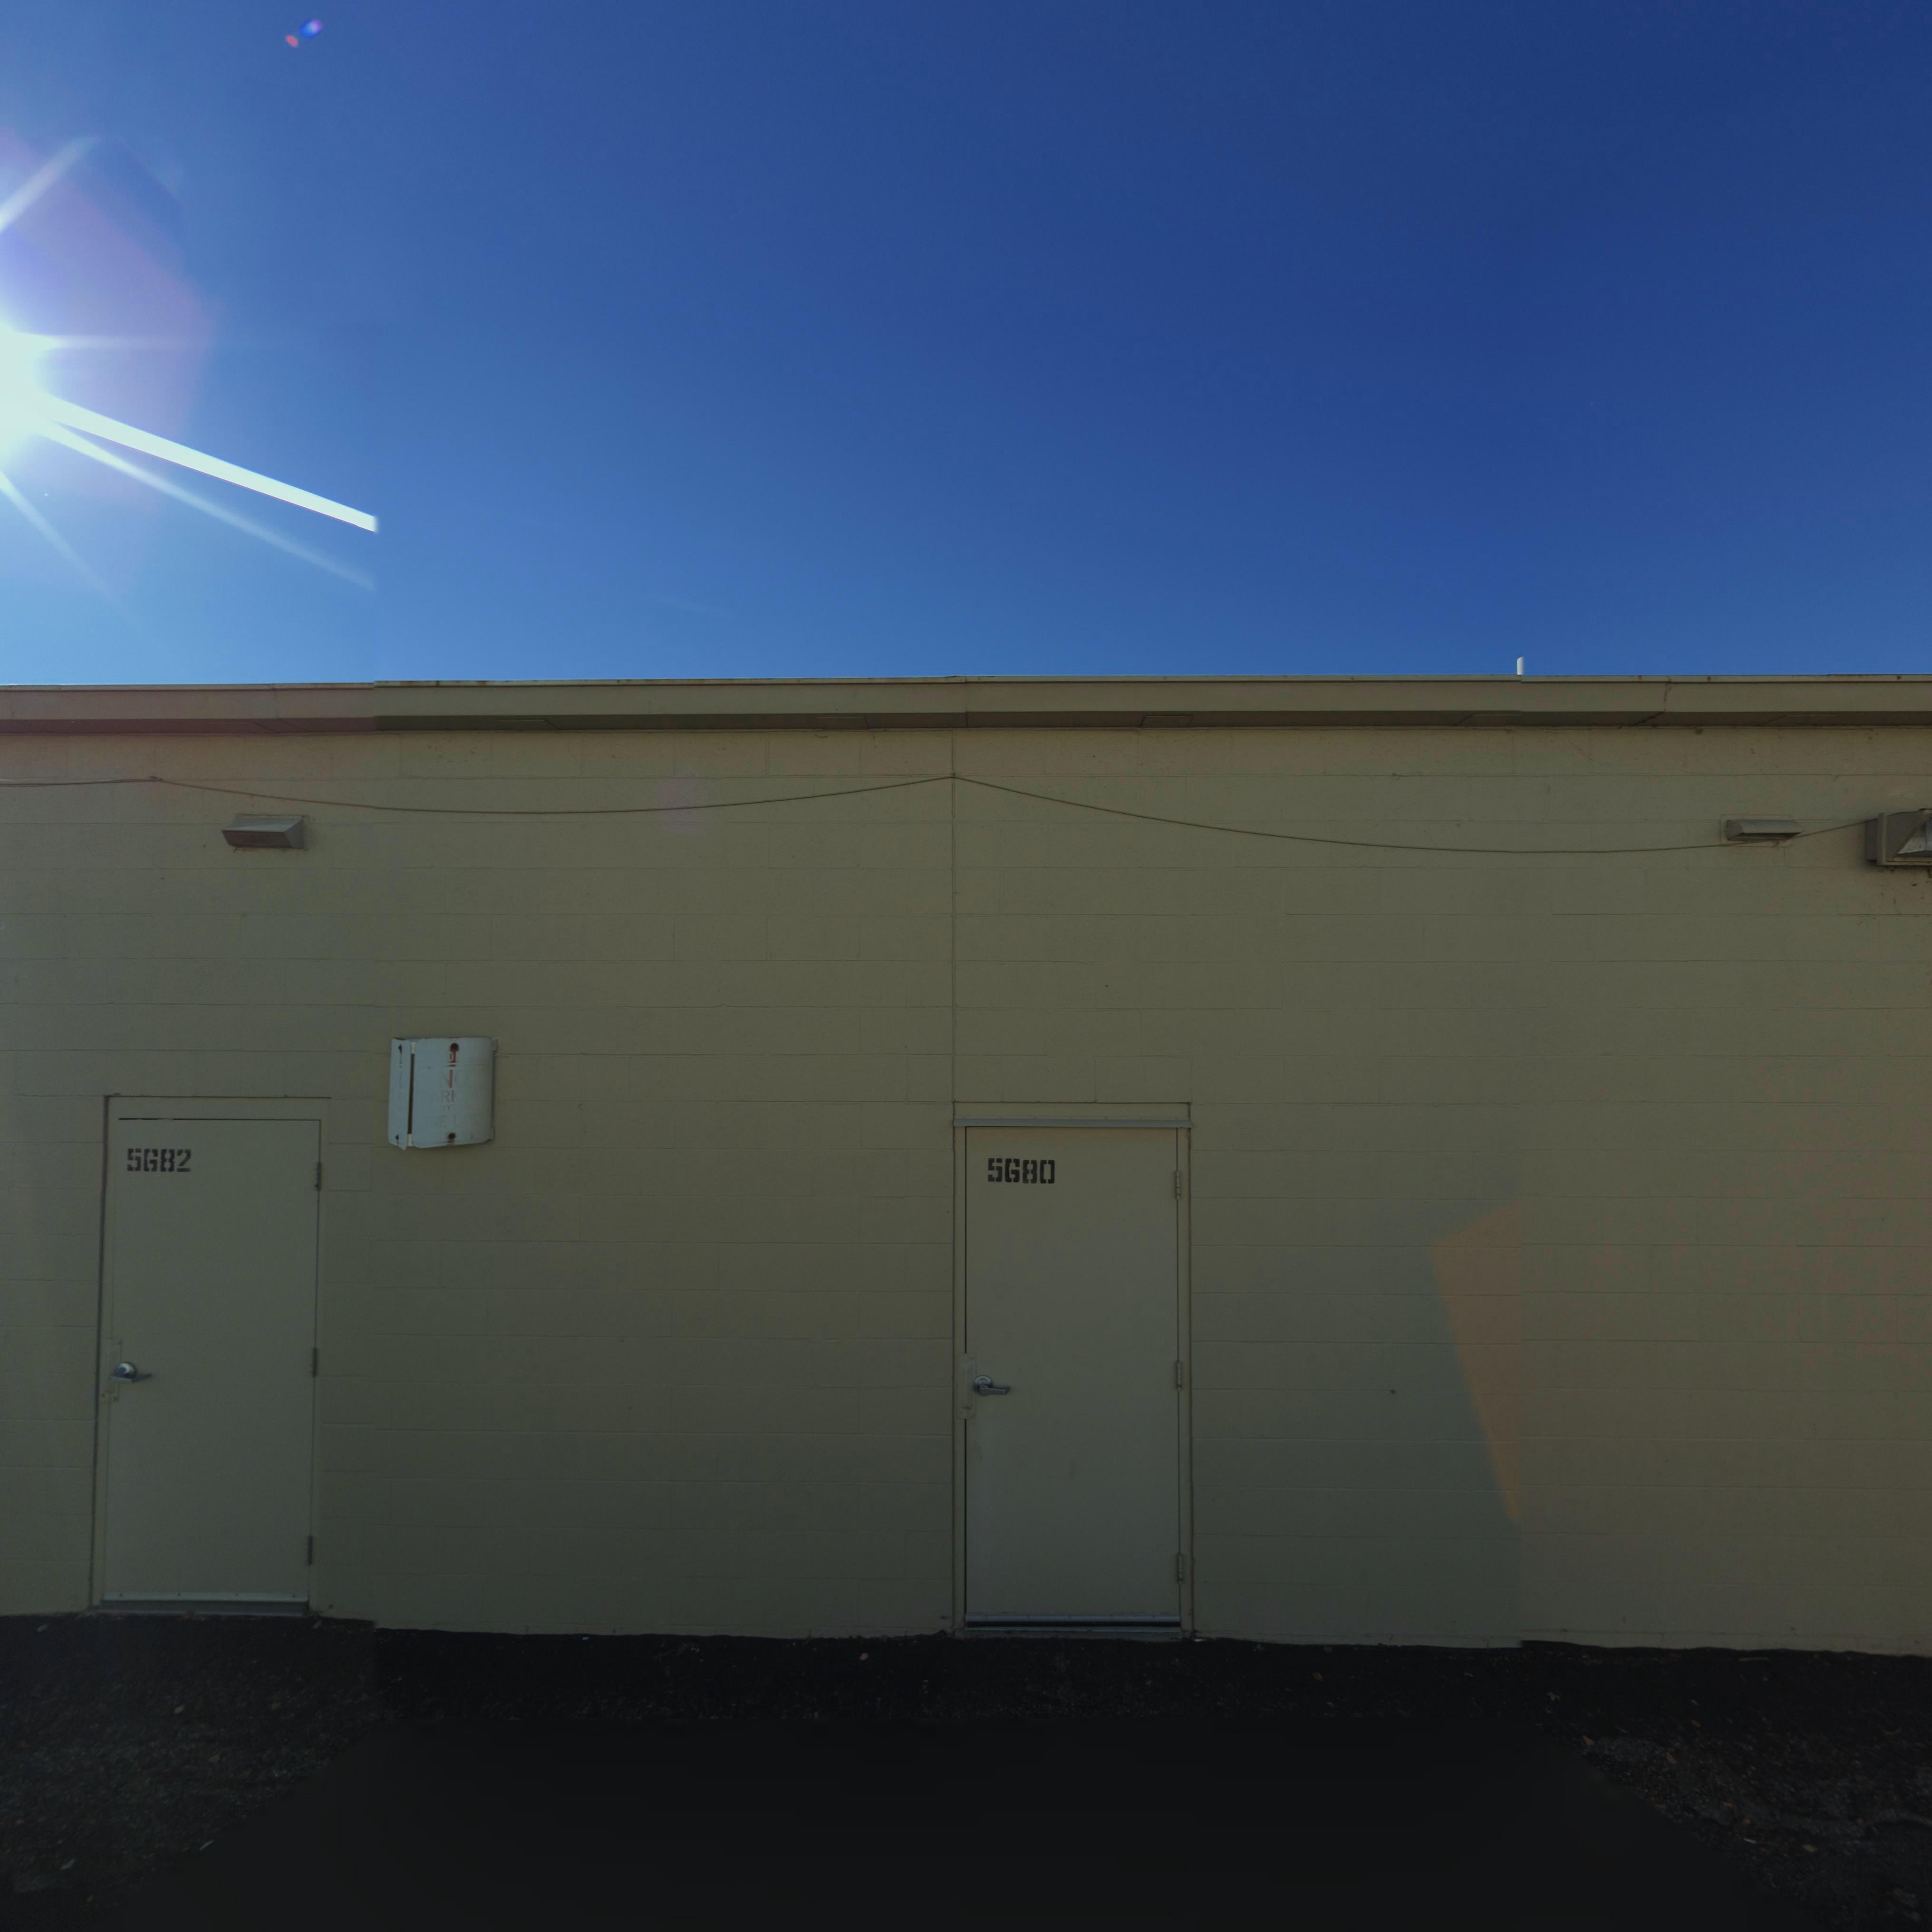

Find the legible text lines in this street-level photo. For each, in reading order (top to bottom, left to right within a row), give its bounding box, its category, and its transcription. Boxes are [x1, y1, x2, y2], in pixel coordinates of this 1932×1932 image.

[126, 1148, 193, 1173] StreetNumber: 5682
[986, 1157, 1056, 1184] StreetNumber: 5680